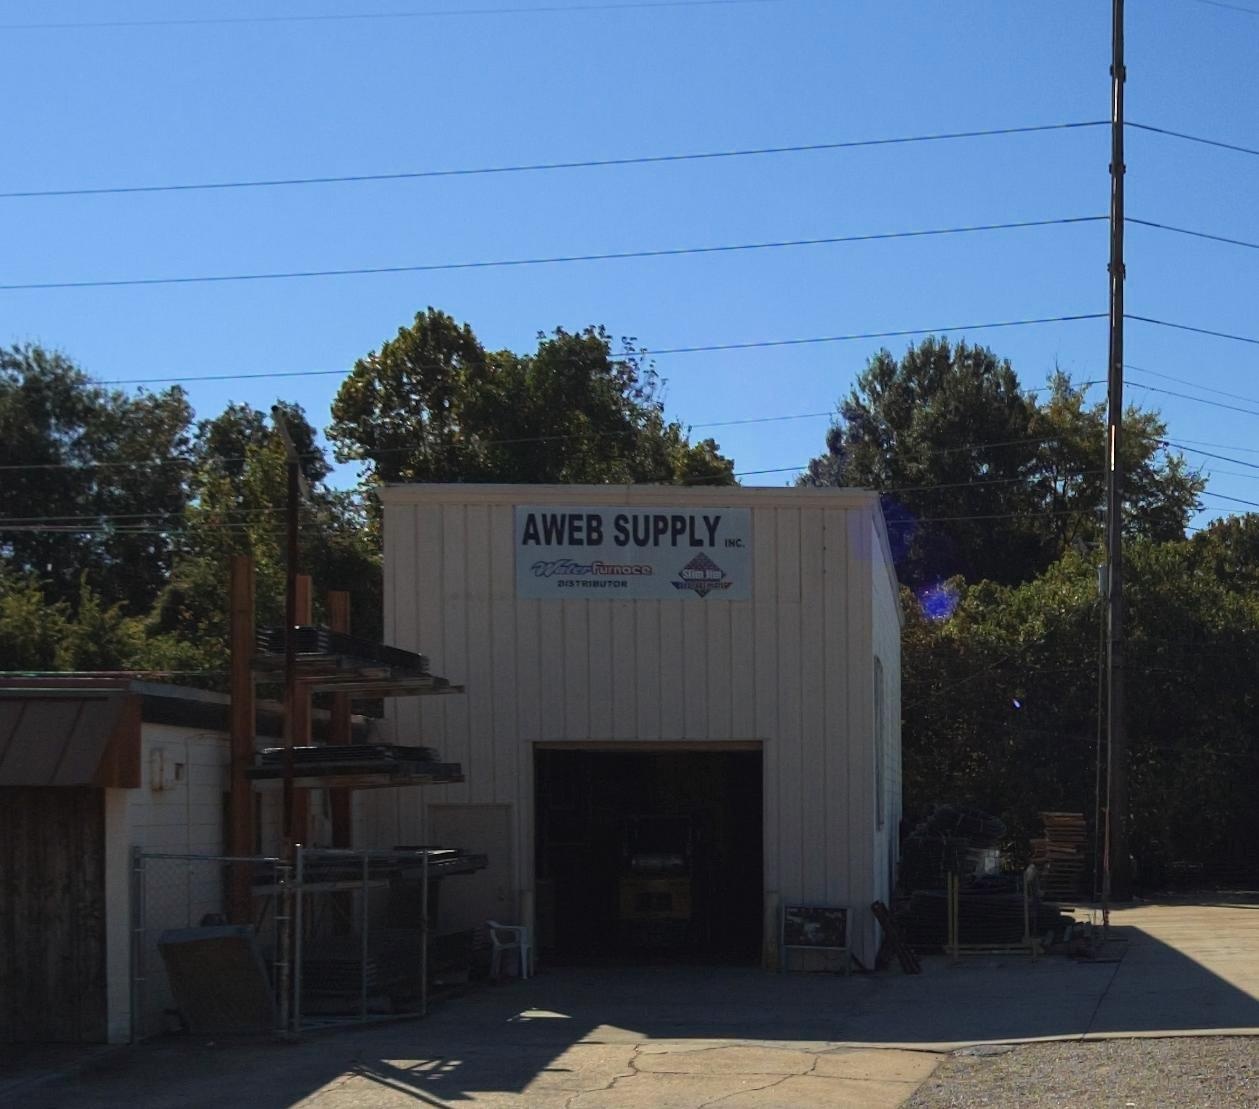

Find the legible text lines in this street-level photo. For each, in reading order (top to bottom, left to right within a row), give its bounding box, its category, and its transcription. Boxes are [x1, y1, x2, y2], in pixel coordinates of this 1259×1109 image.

[518, 511, 748, 551] BusinessName: AWEB SUPPLY INC.
[528, 556, 655, 580] None: WaterFurnace
[605, 578, 629, 590] None: TOR
[681, 566, 707, 582] None: Slim